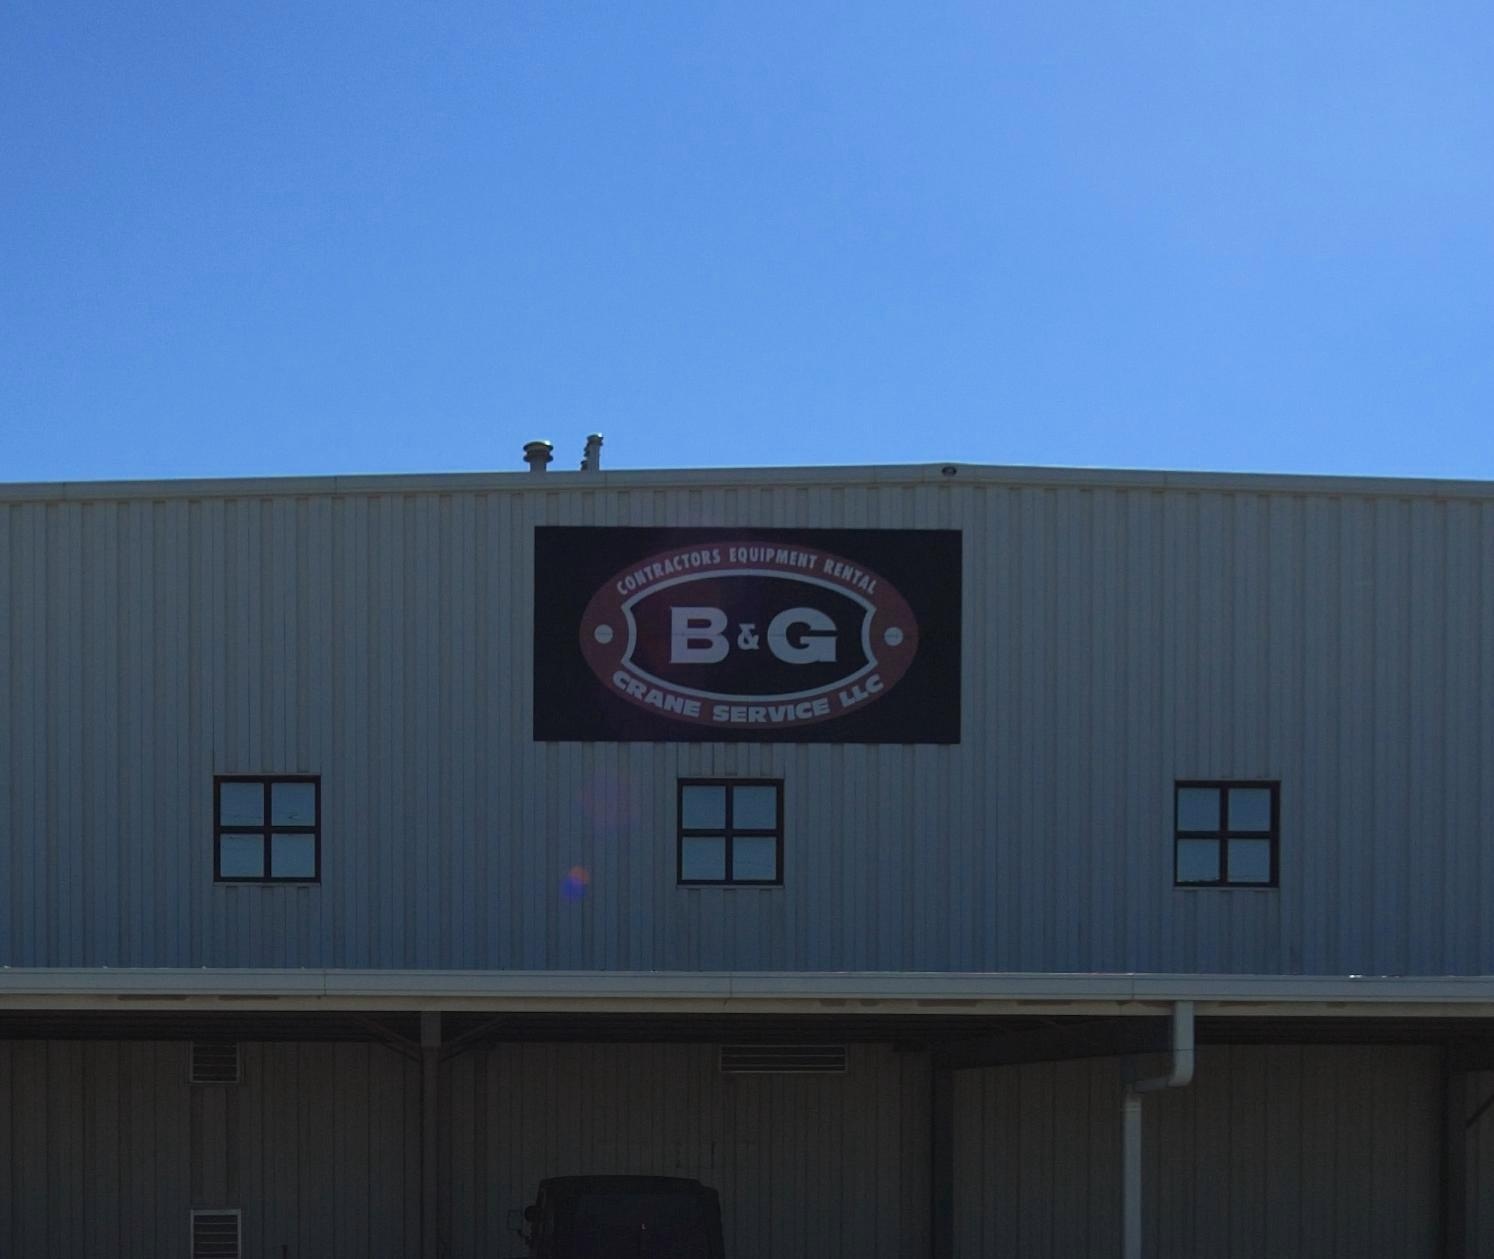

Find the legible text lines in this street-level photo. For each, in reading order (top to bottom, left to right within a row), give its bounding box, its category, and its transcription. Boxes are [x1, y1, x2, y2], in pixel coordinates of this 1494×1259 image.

[612, 544, 881, 598] None: B&G Crane Service LLC
[666, 603, 840, 668] BusinessName: B&G
[609, 665, 887, 726] BusinessName: CRANE SERVICE LLC